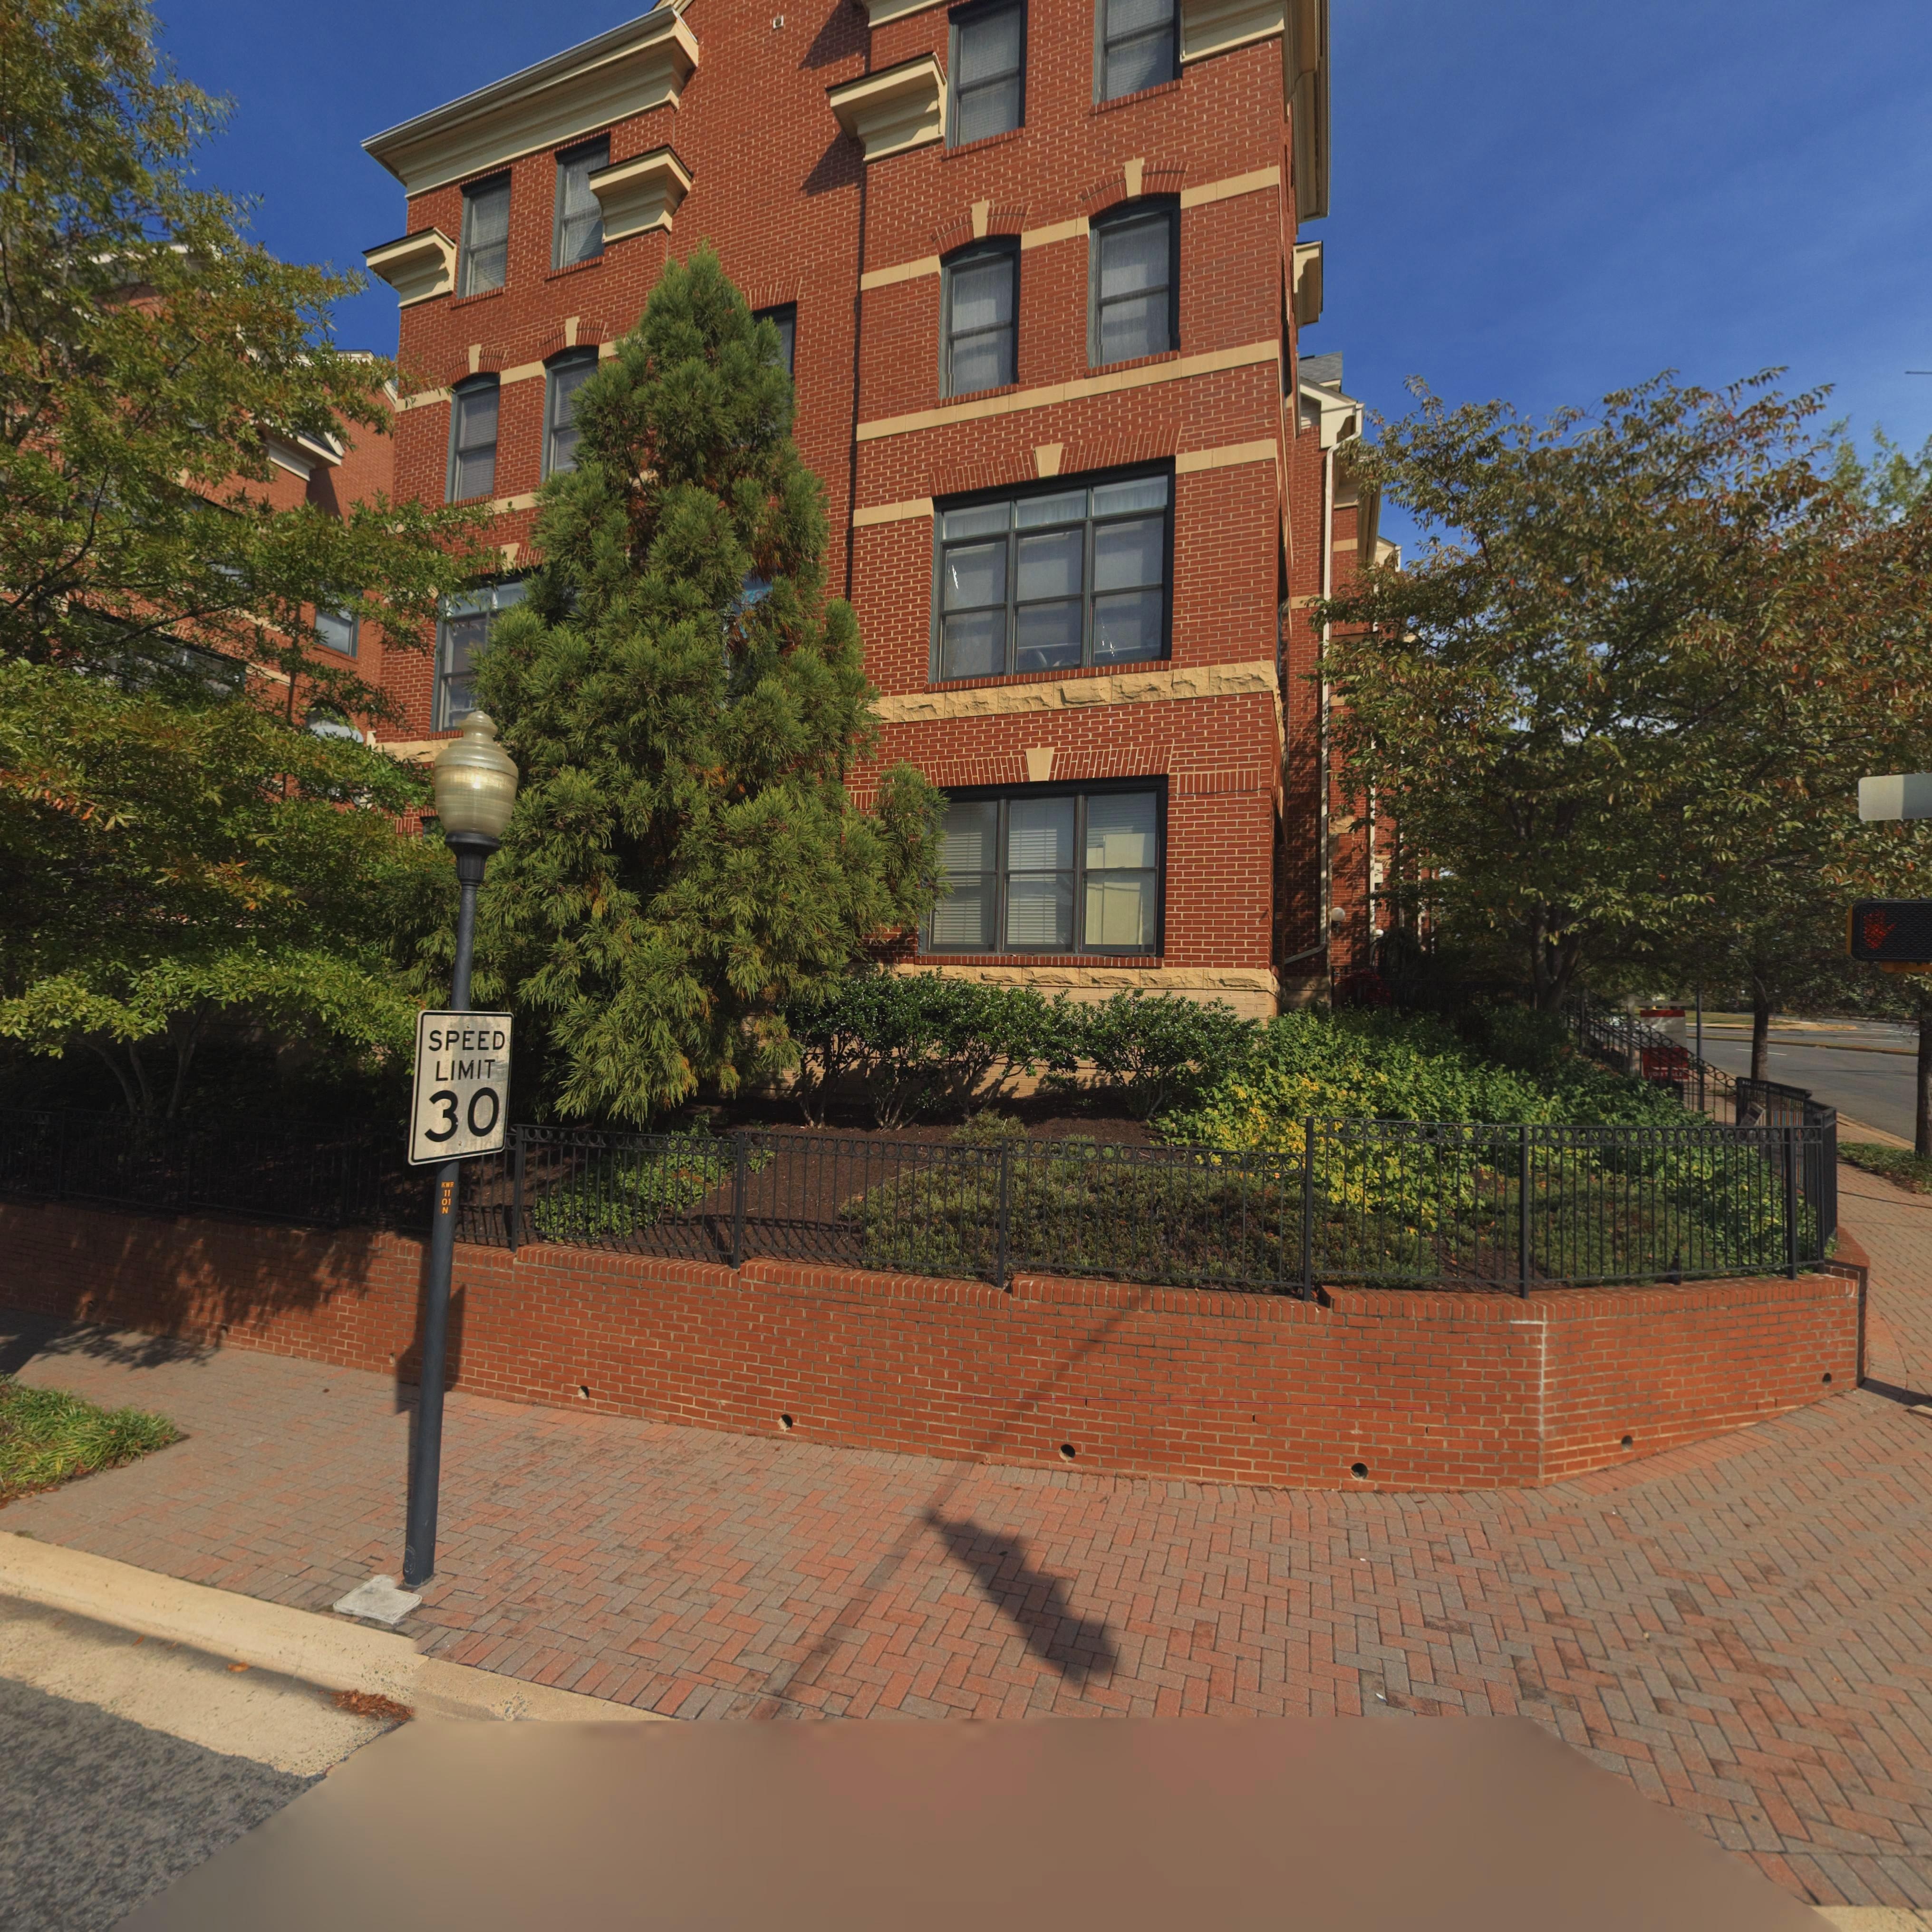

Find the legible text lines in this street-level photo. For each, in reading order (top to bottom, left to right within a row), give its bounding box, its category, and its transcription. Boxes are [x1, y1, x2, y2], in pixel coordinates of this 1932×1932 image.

[428, 1029, 506, 1052] None: SPEED
[435, 1059, 496, 1082] None: LIMIT
[1647, 1072, 1683, 1077] None: *O* ****
[424, 1086, 500, 1143] None: 30
[441, 1181, 454, 1188] None: KWR
[444, 1189, 451, 1198] None: 11
[441, 1198, 452, 1206] None: 01
[442, 1207, 449, 1214] None: N